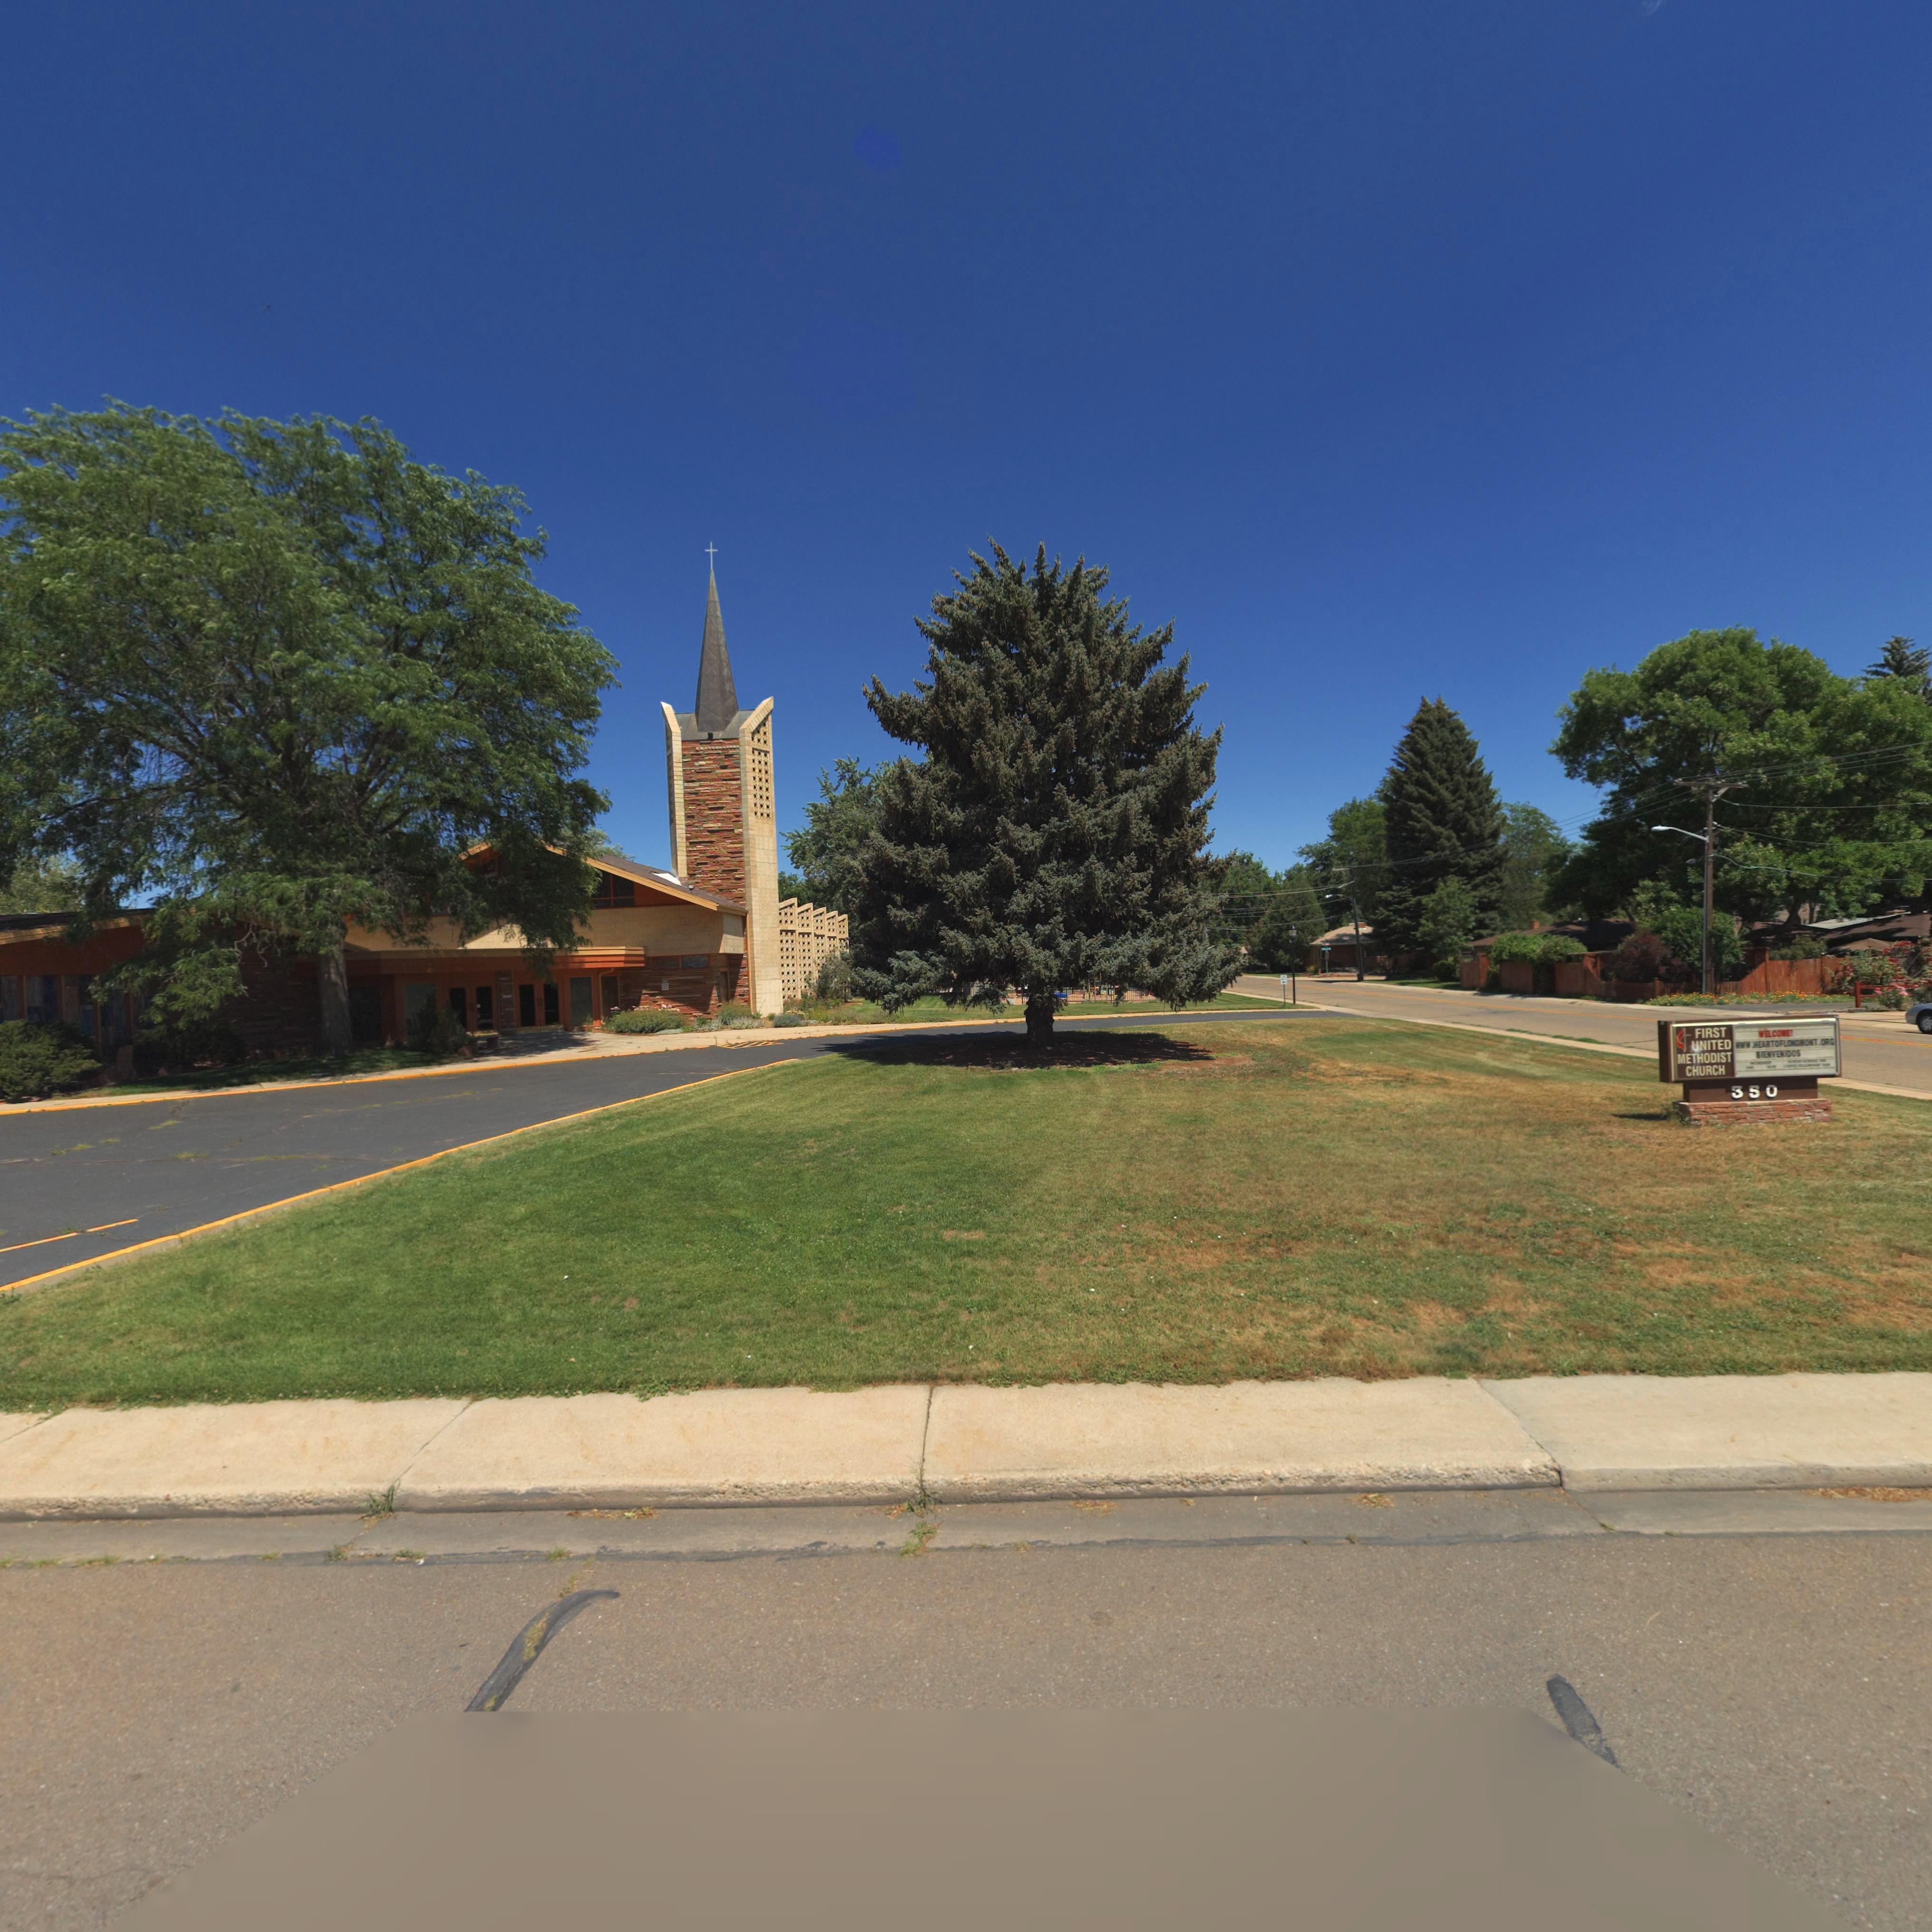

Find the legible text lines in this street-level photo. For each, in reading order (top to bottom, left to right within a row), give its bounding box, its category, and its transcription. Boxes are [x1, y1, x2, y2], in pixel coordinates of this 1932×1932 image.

[1694, 1026, 1727, 1039] BusinessName: FIRST
[1691, 1039, 1732, 1051] BusinessName: *NITED
[1677, 1052, 1732, 1064] BusinessName: METHODIST
[1685, 1064, 1725, 1076] BusinessName: CHURCH
[1730, 1083, 1778, 1099] StreetNumber: 350